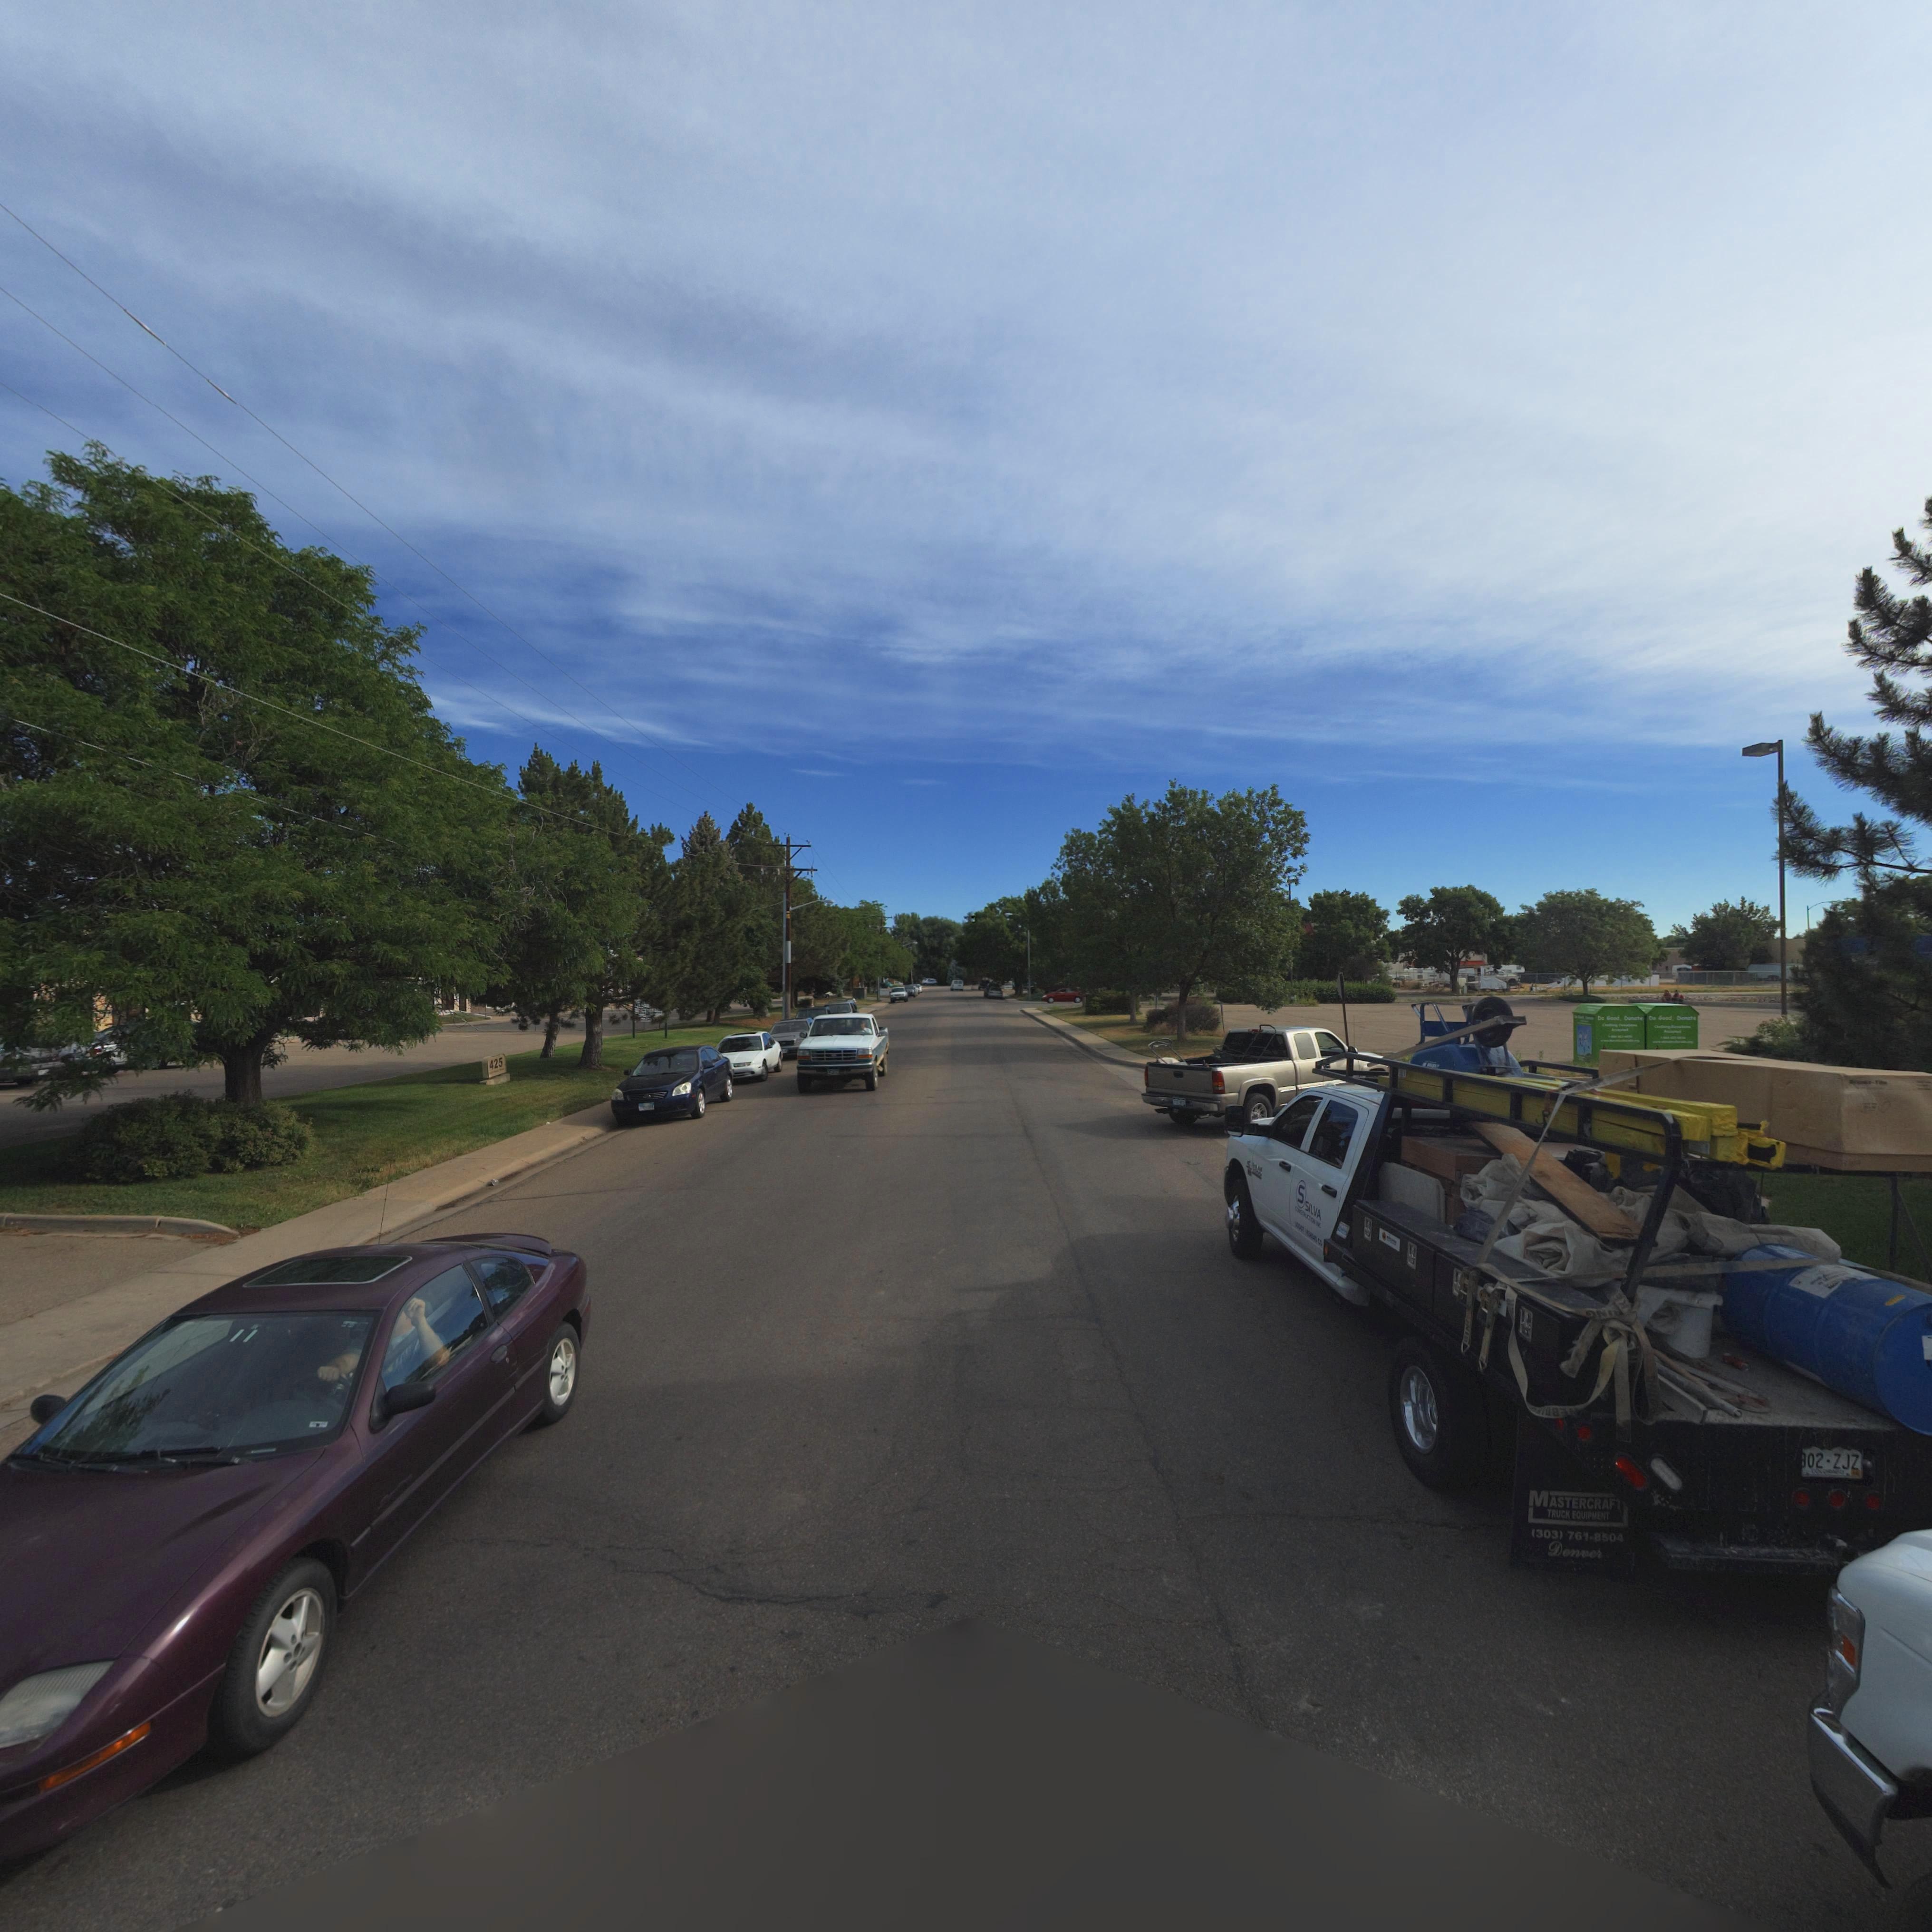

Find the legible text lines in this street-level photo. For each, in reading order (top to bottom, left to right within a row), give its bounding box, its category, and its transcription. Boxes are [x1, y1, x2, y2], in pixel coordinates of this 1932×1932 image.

[488, 1056, 503, 1070] StreetNumber: 425